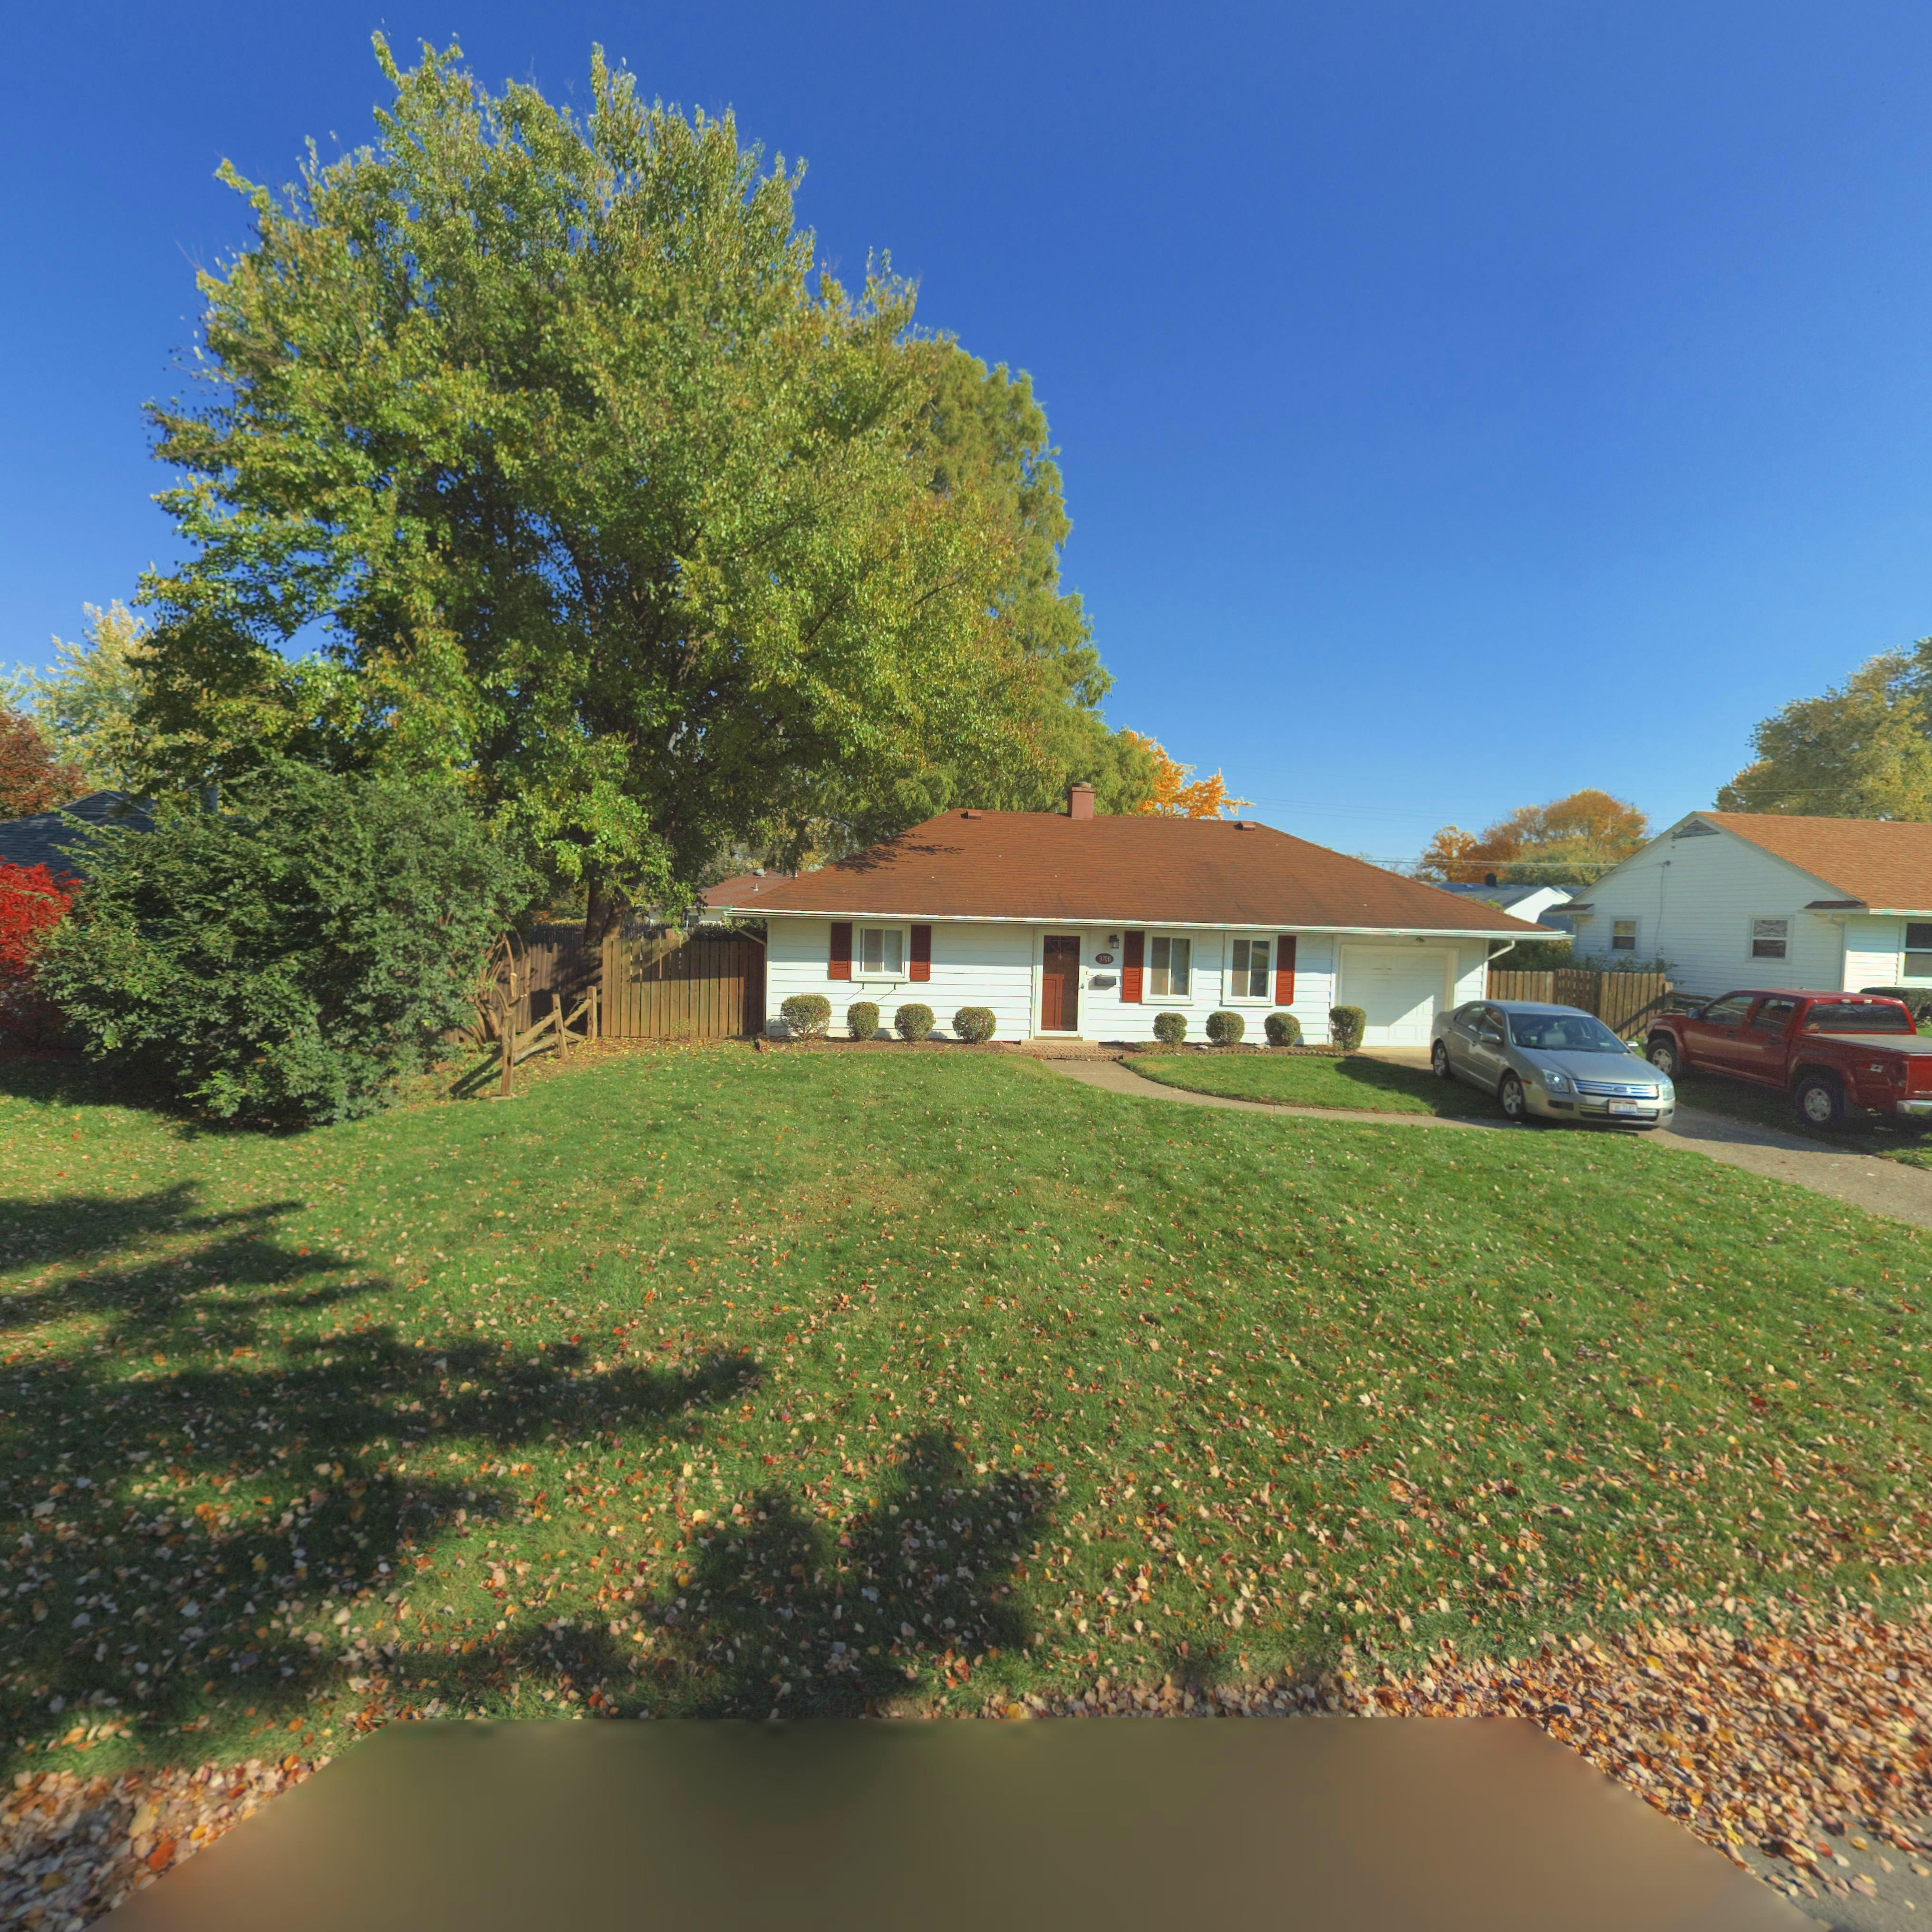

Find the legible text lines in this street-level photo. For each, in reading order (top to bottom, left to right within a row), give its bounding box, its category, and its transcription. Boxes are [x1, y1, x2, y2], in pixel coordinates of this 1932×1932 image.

[1098, 955, 1111, 962] StreetNumber: 3708
[1611, 1103, 1635, 1112] None: FUU 7141